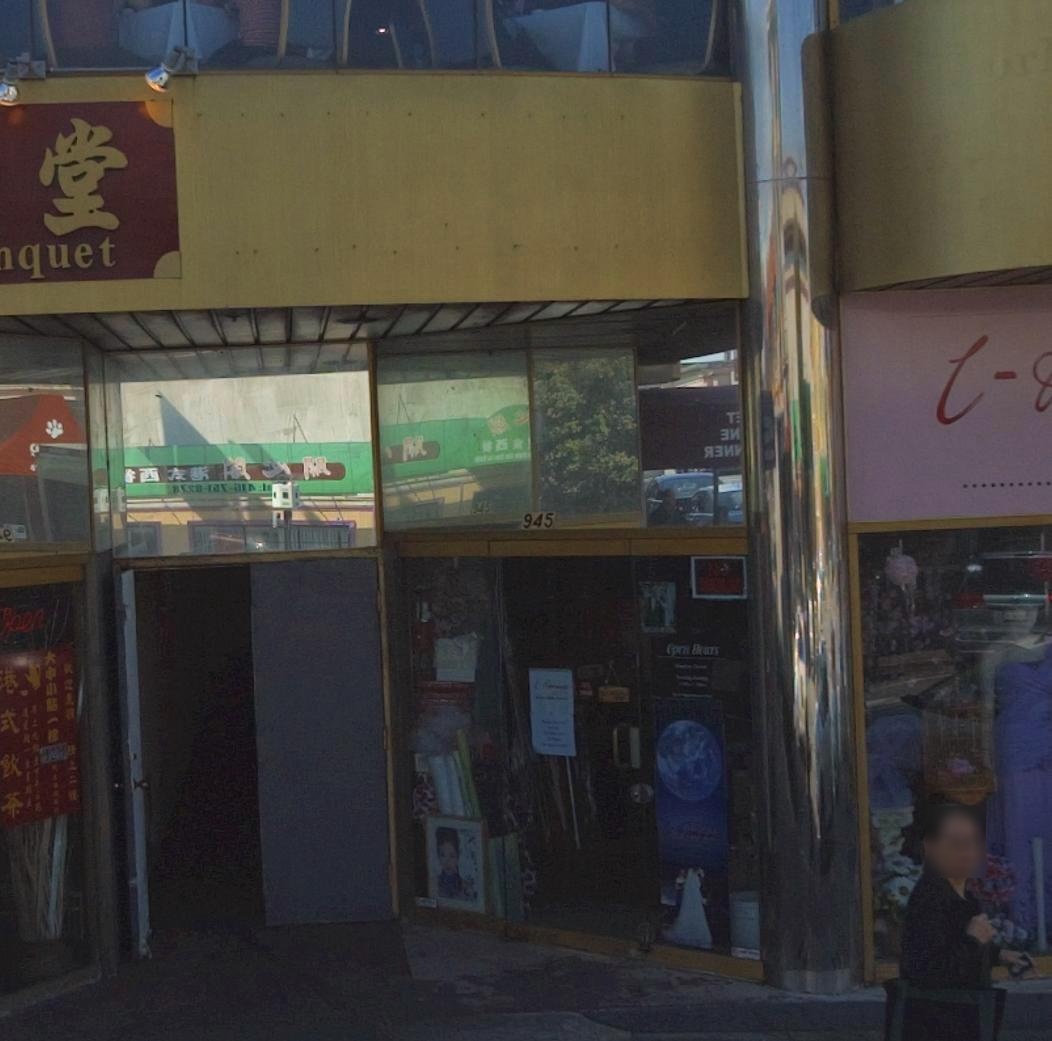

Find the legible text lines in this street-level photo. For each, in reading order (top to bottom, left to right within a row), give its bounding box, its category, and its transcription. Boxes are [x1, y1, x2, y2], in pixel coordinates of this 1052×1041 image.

[16, 235, 119, 283] BusinessName: quet
[724, 408, 738, 425] None: T
[471, 500, 492, 516] StreetNumber: 945
[520, 512, 555, 529] StreetNumber: 945
[664, 641, 721, 659] None: Open Hours